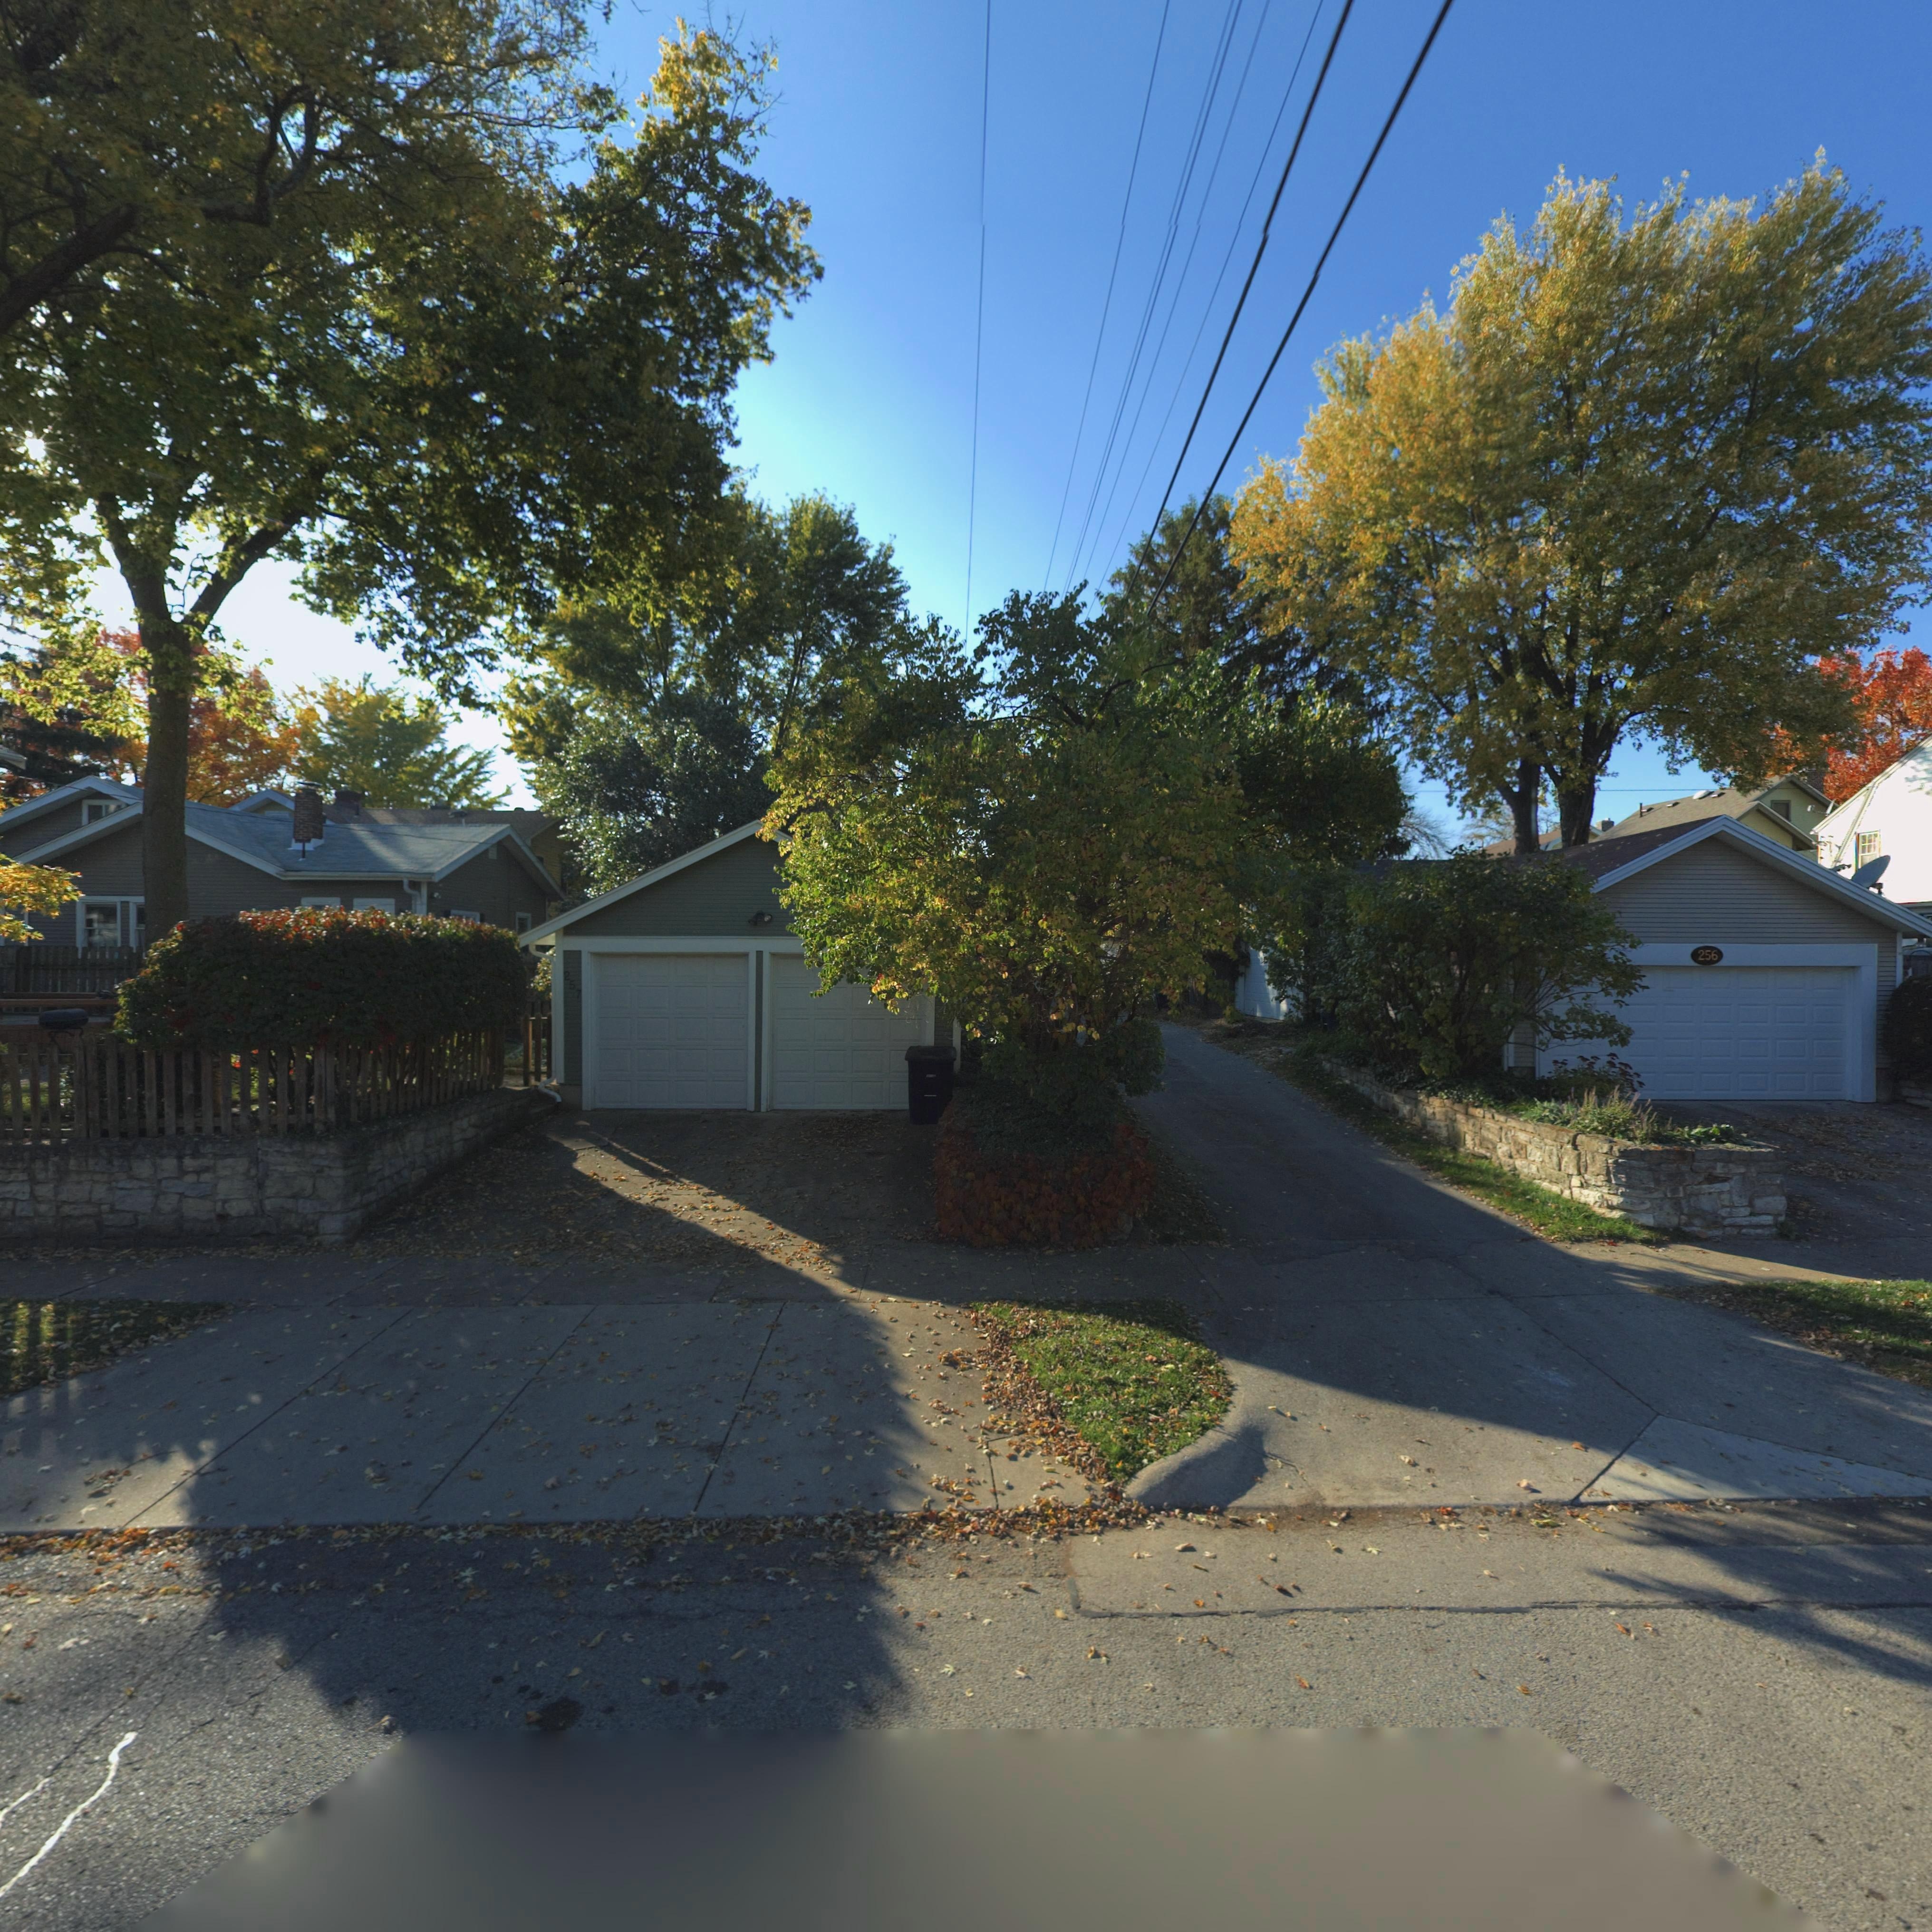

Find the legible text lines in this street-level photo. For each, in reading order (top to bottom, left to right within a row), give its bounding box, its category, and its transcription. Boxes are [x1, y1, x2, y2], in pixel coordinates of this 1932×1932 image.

[1698, 949, 1718, 961] StreetNumber: 256